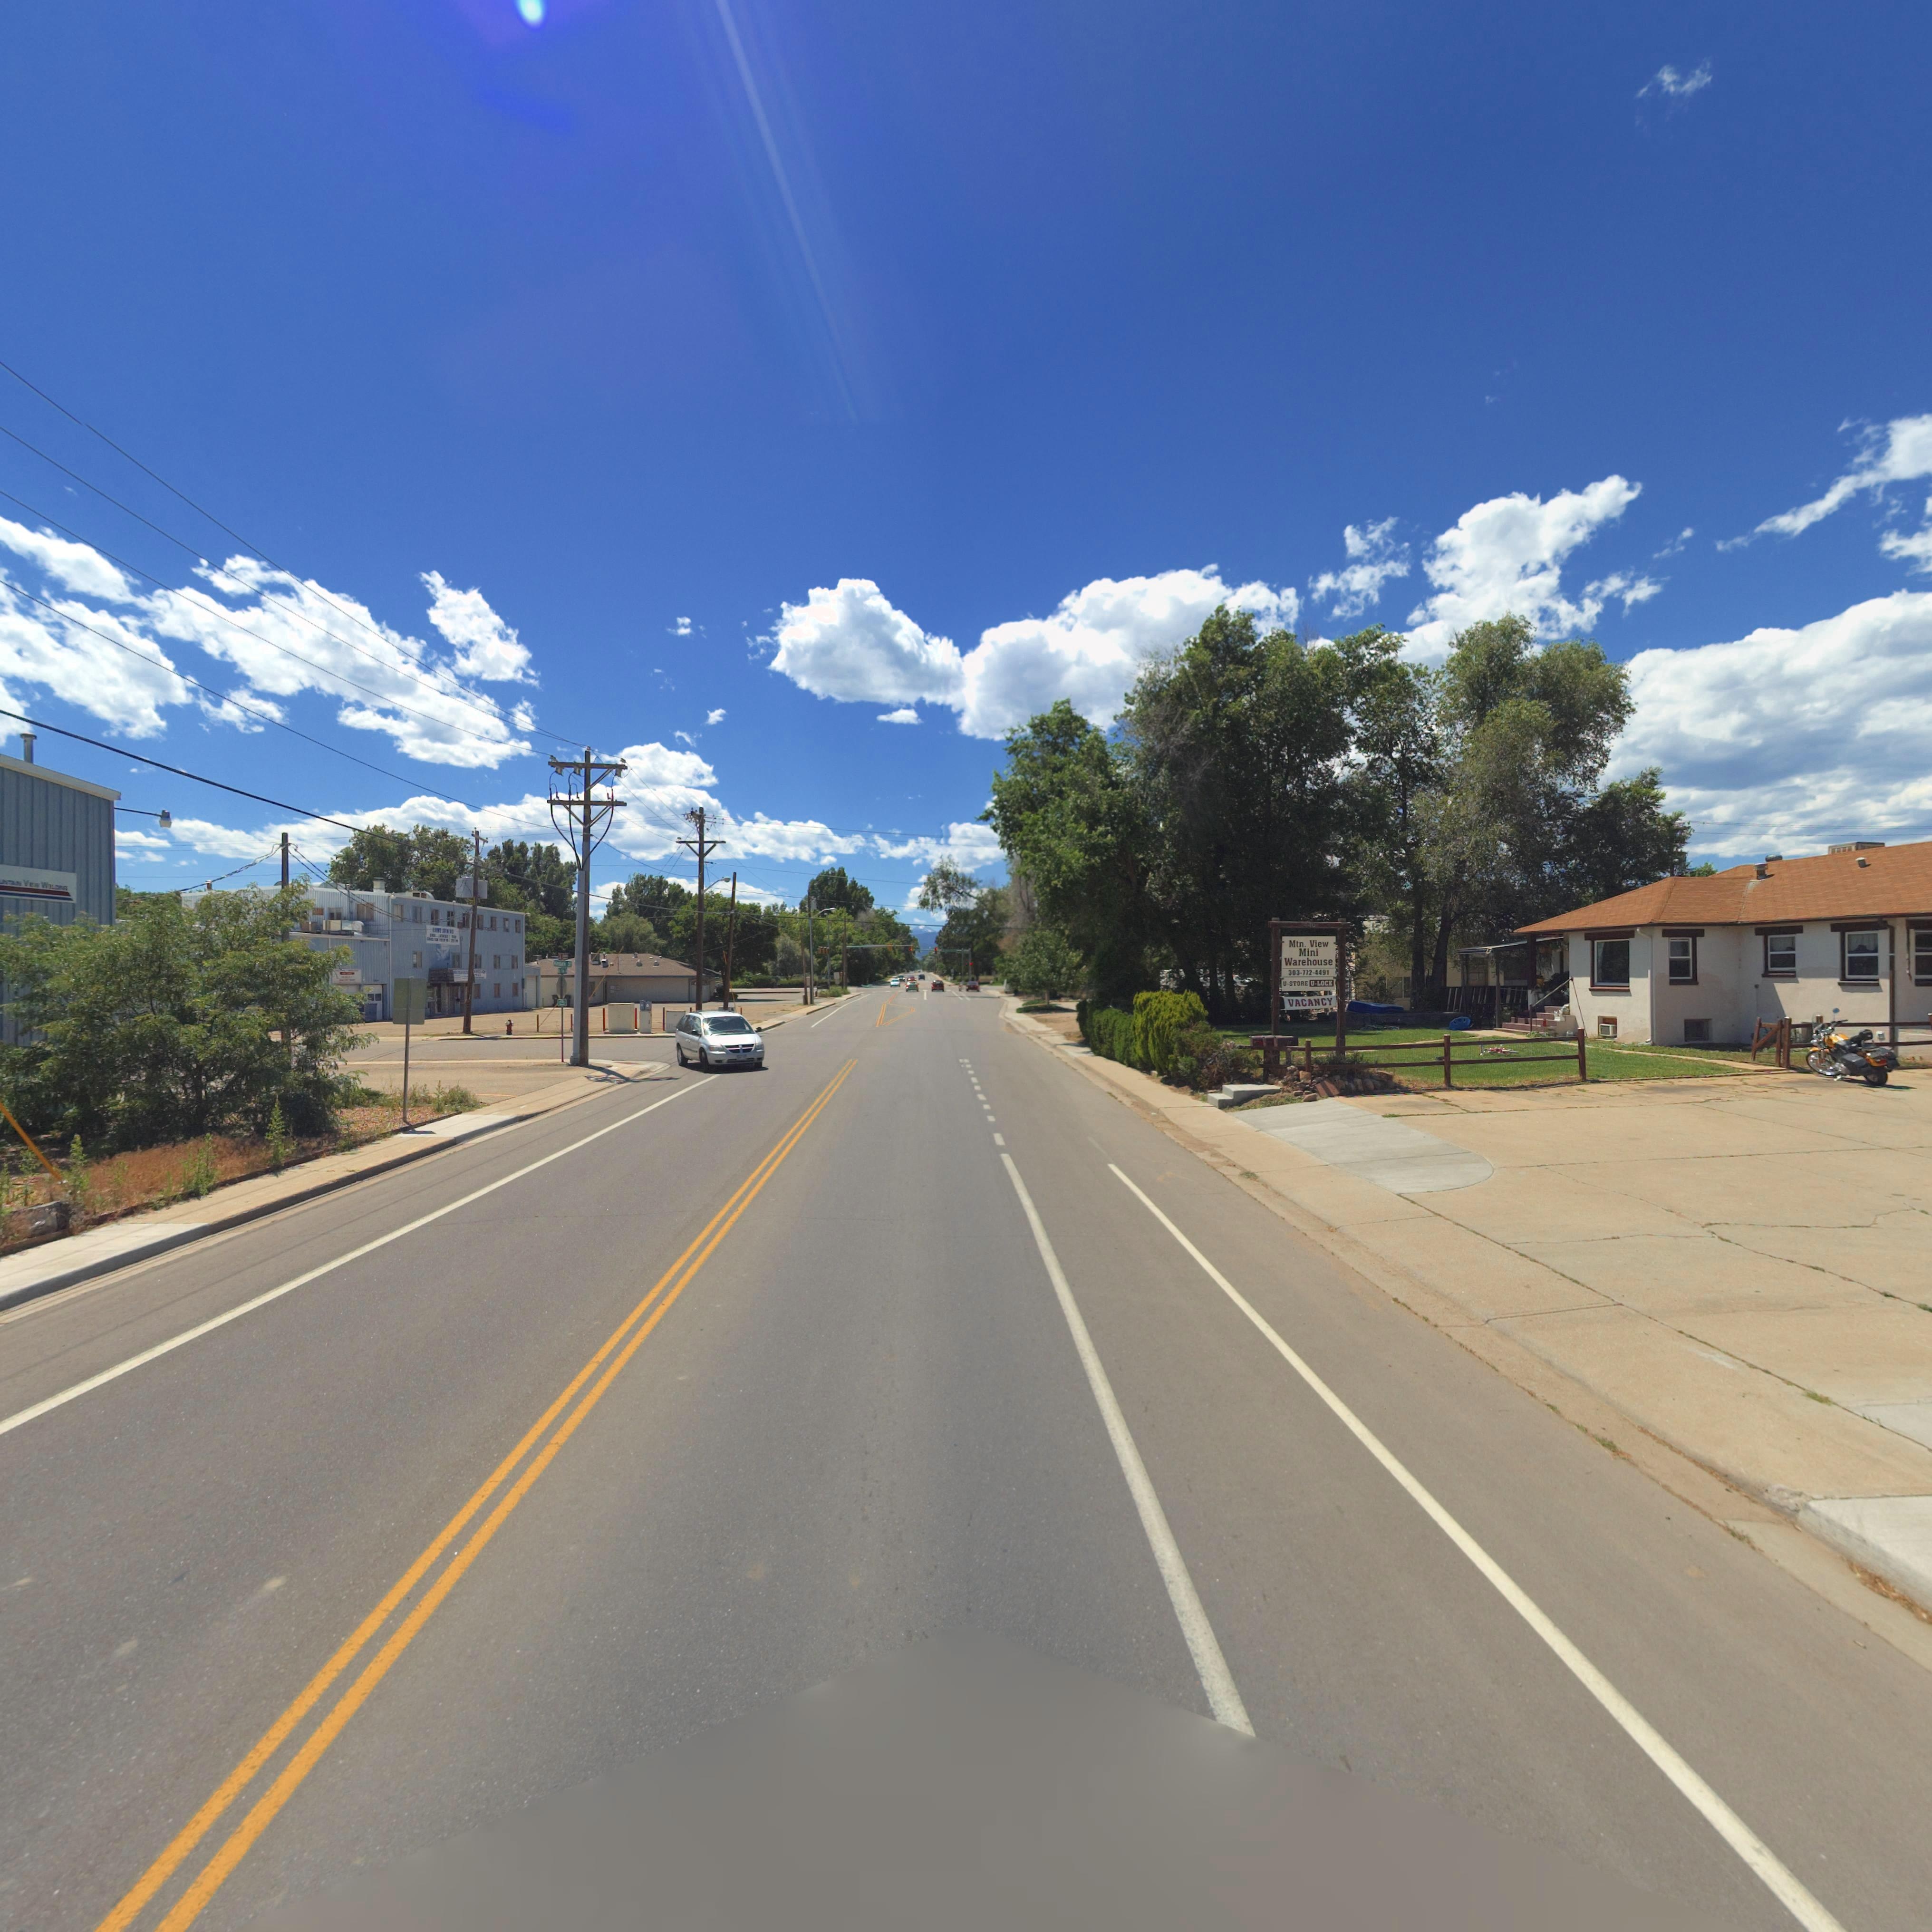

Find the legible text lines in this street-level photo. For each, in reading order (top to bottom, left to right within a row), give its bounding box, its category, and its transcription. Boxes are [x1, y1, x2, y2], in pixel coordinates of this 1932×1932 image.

[2, 879, 68, 891] BusinessName: NTAIN VIEW WELDING
[1304, 922, 1315, 927] StreetNumber: *40
[1288, 939, 1329, 947] BusinessName: Mtn. View
[1298, 948, 1318, 956] BusinessName: Mini
[553, 960, 571, 966] StreetName: Kimbark St
[1284, 957, 1333, 966] BusinessName: Warehouse